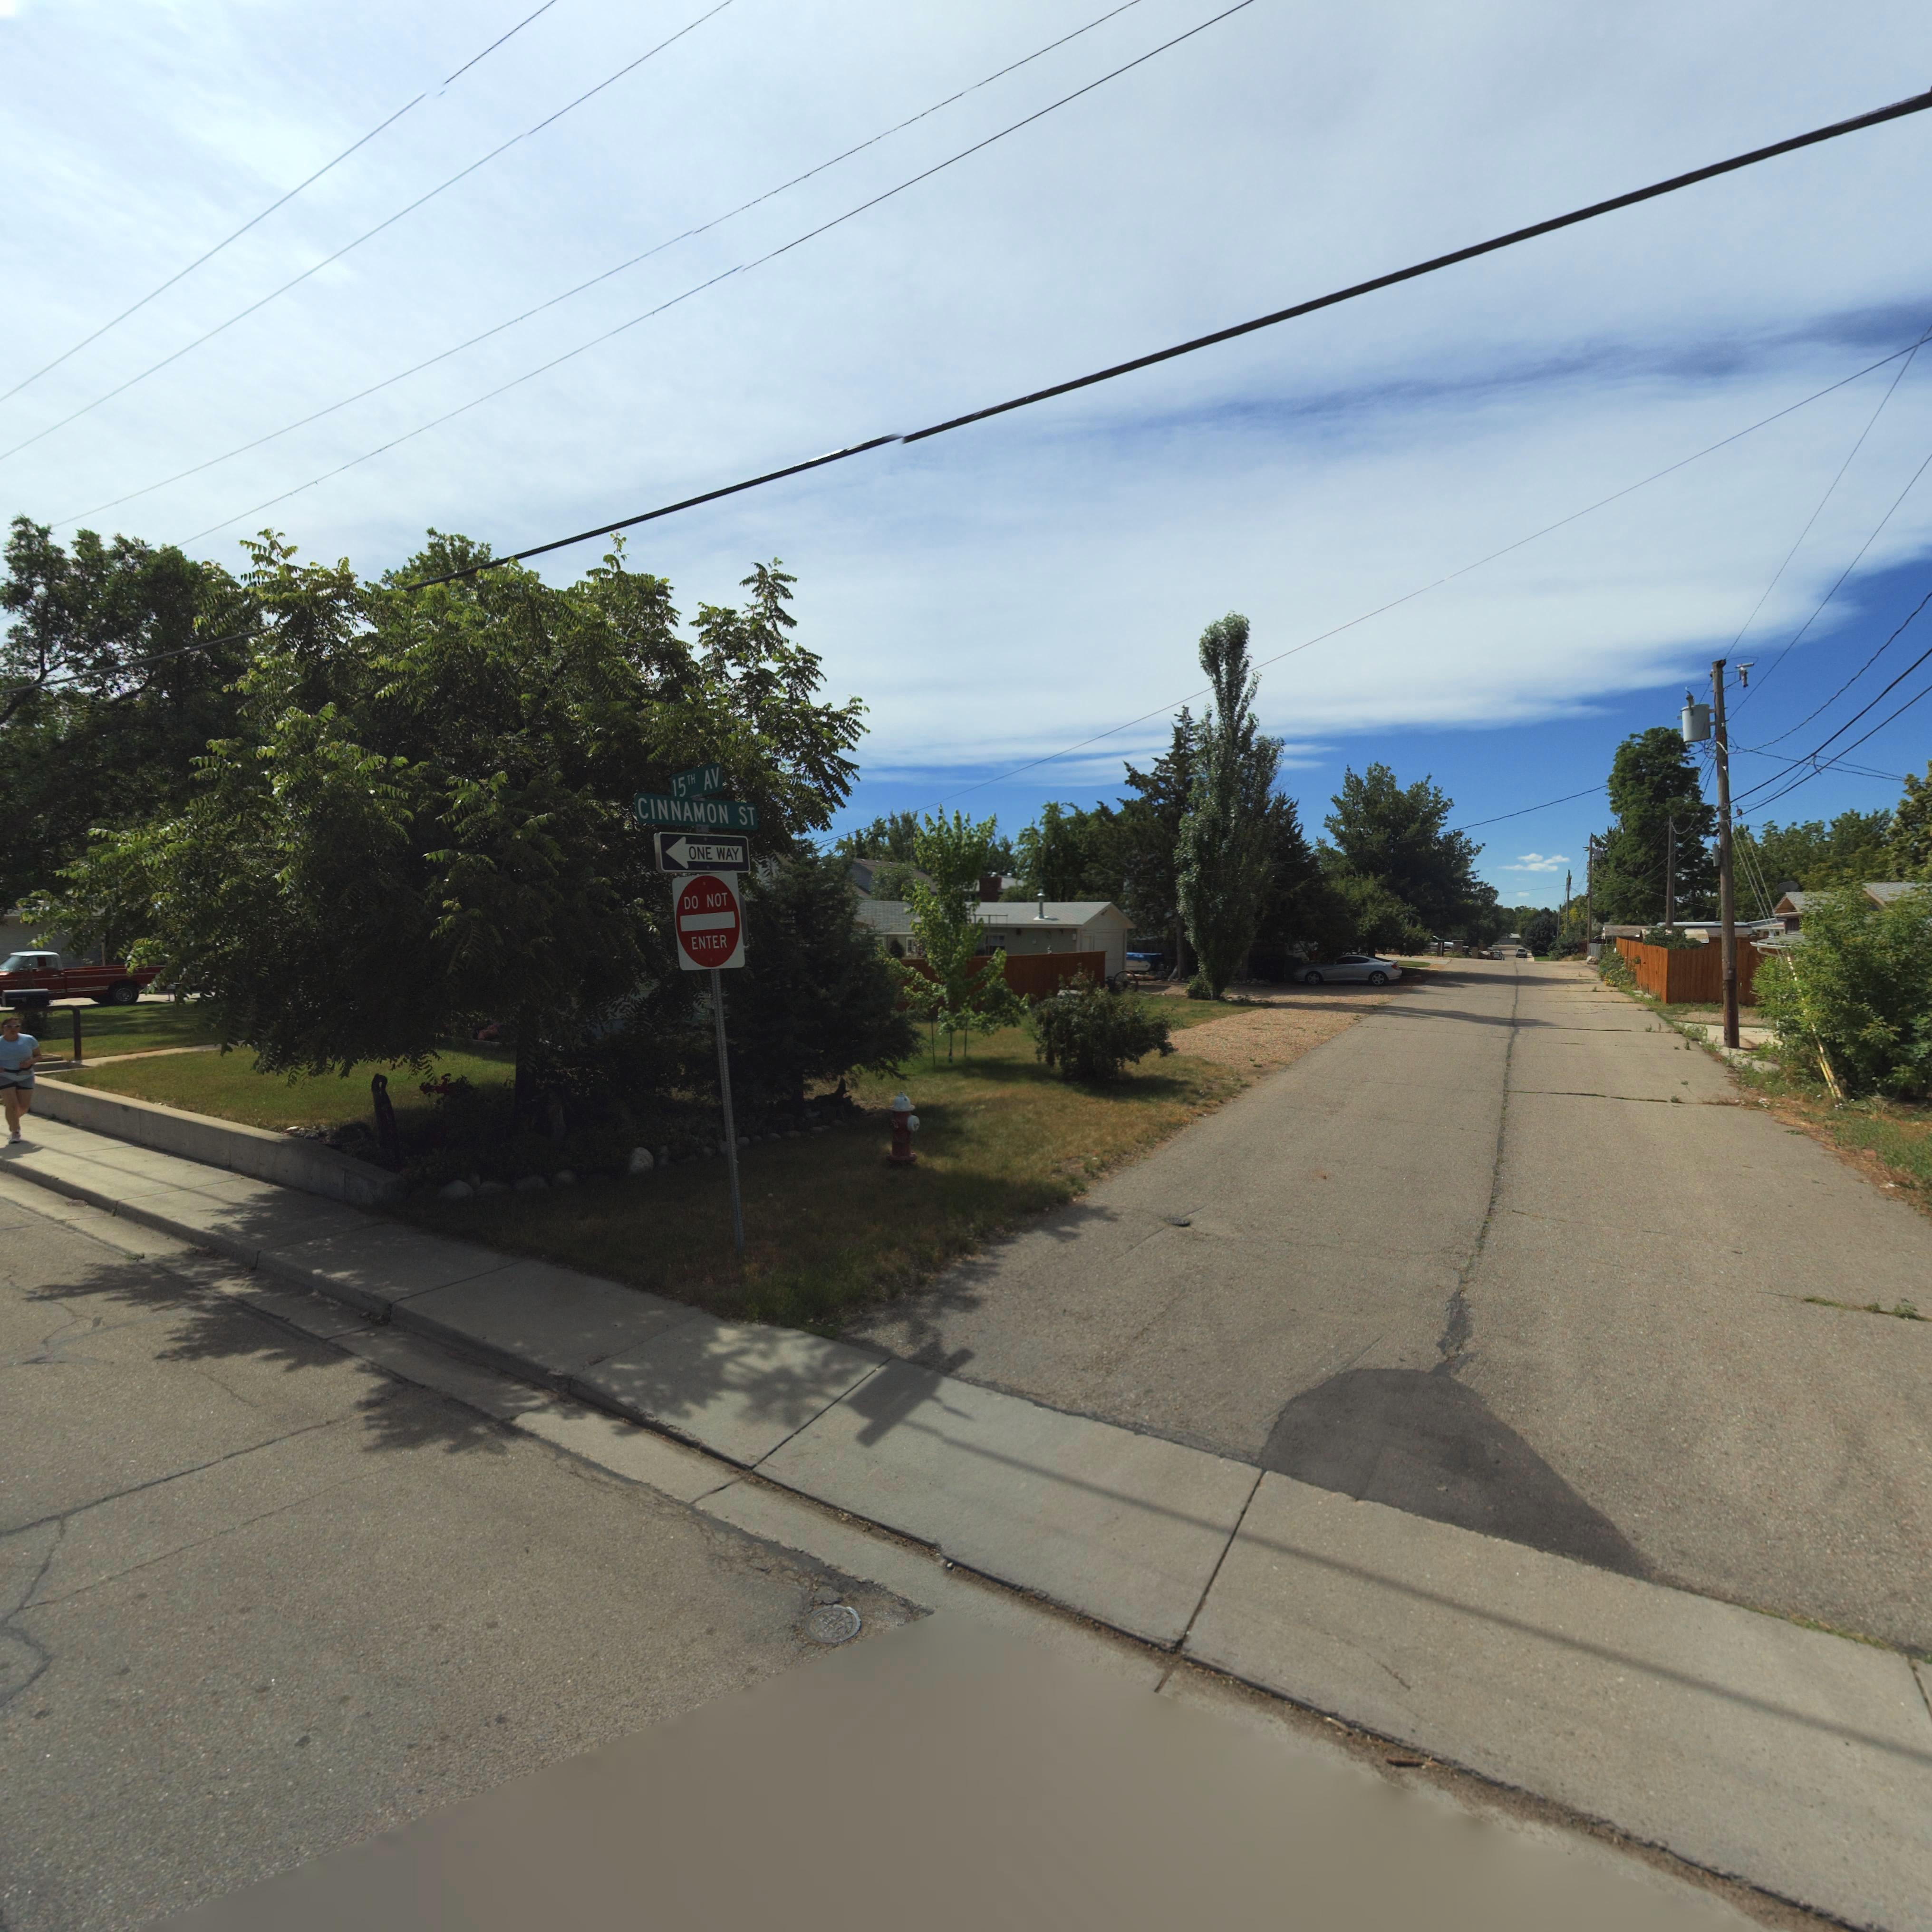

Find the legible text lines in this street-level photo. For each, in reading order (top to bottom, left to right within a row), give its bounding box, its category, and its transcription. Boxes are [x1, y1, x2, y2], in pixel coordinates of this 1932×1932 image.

[671, 765, 719, 798] StreetName: 15TH AV
[637, 797, 754, 826] StreetName: CINNAMON ST